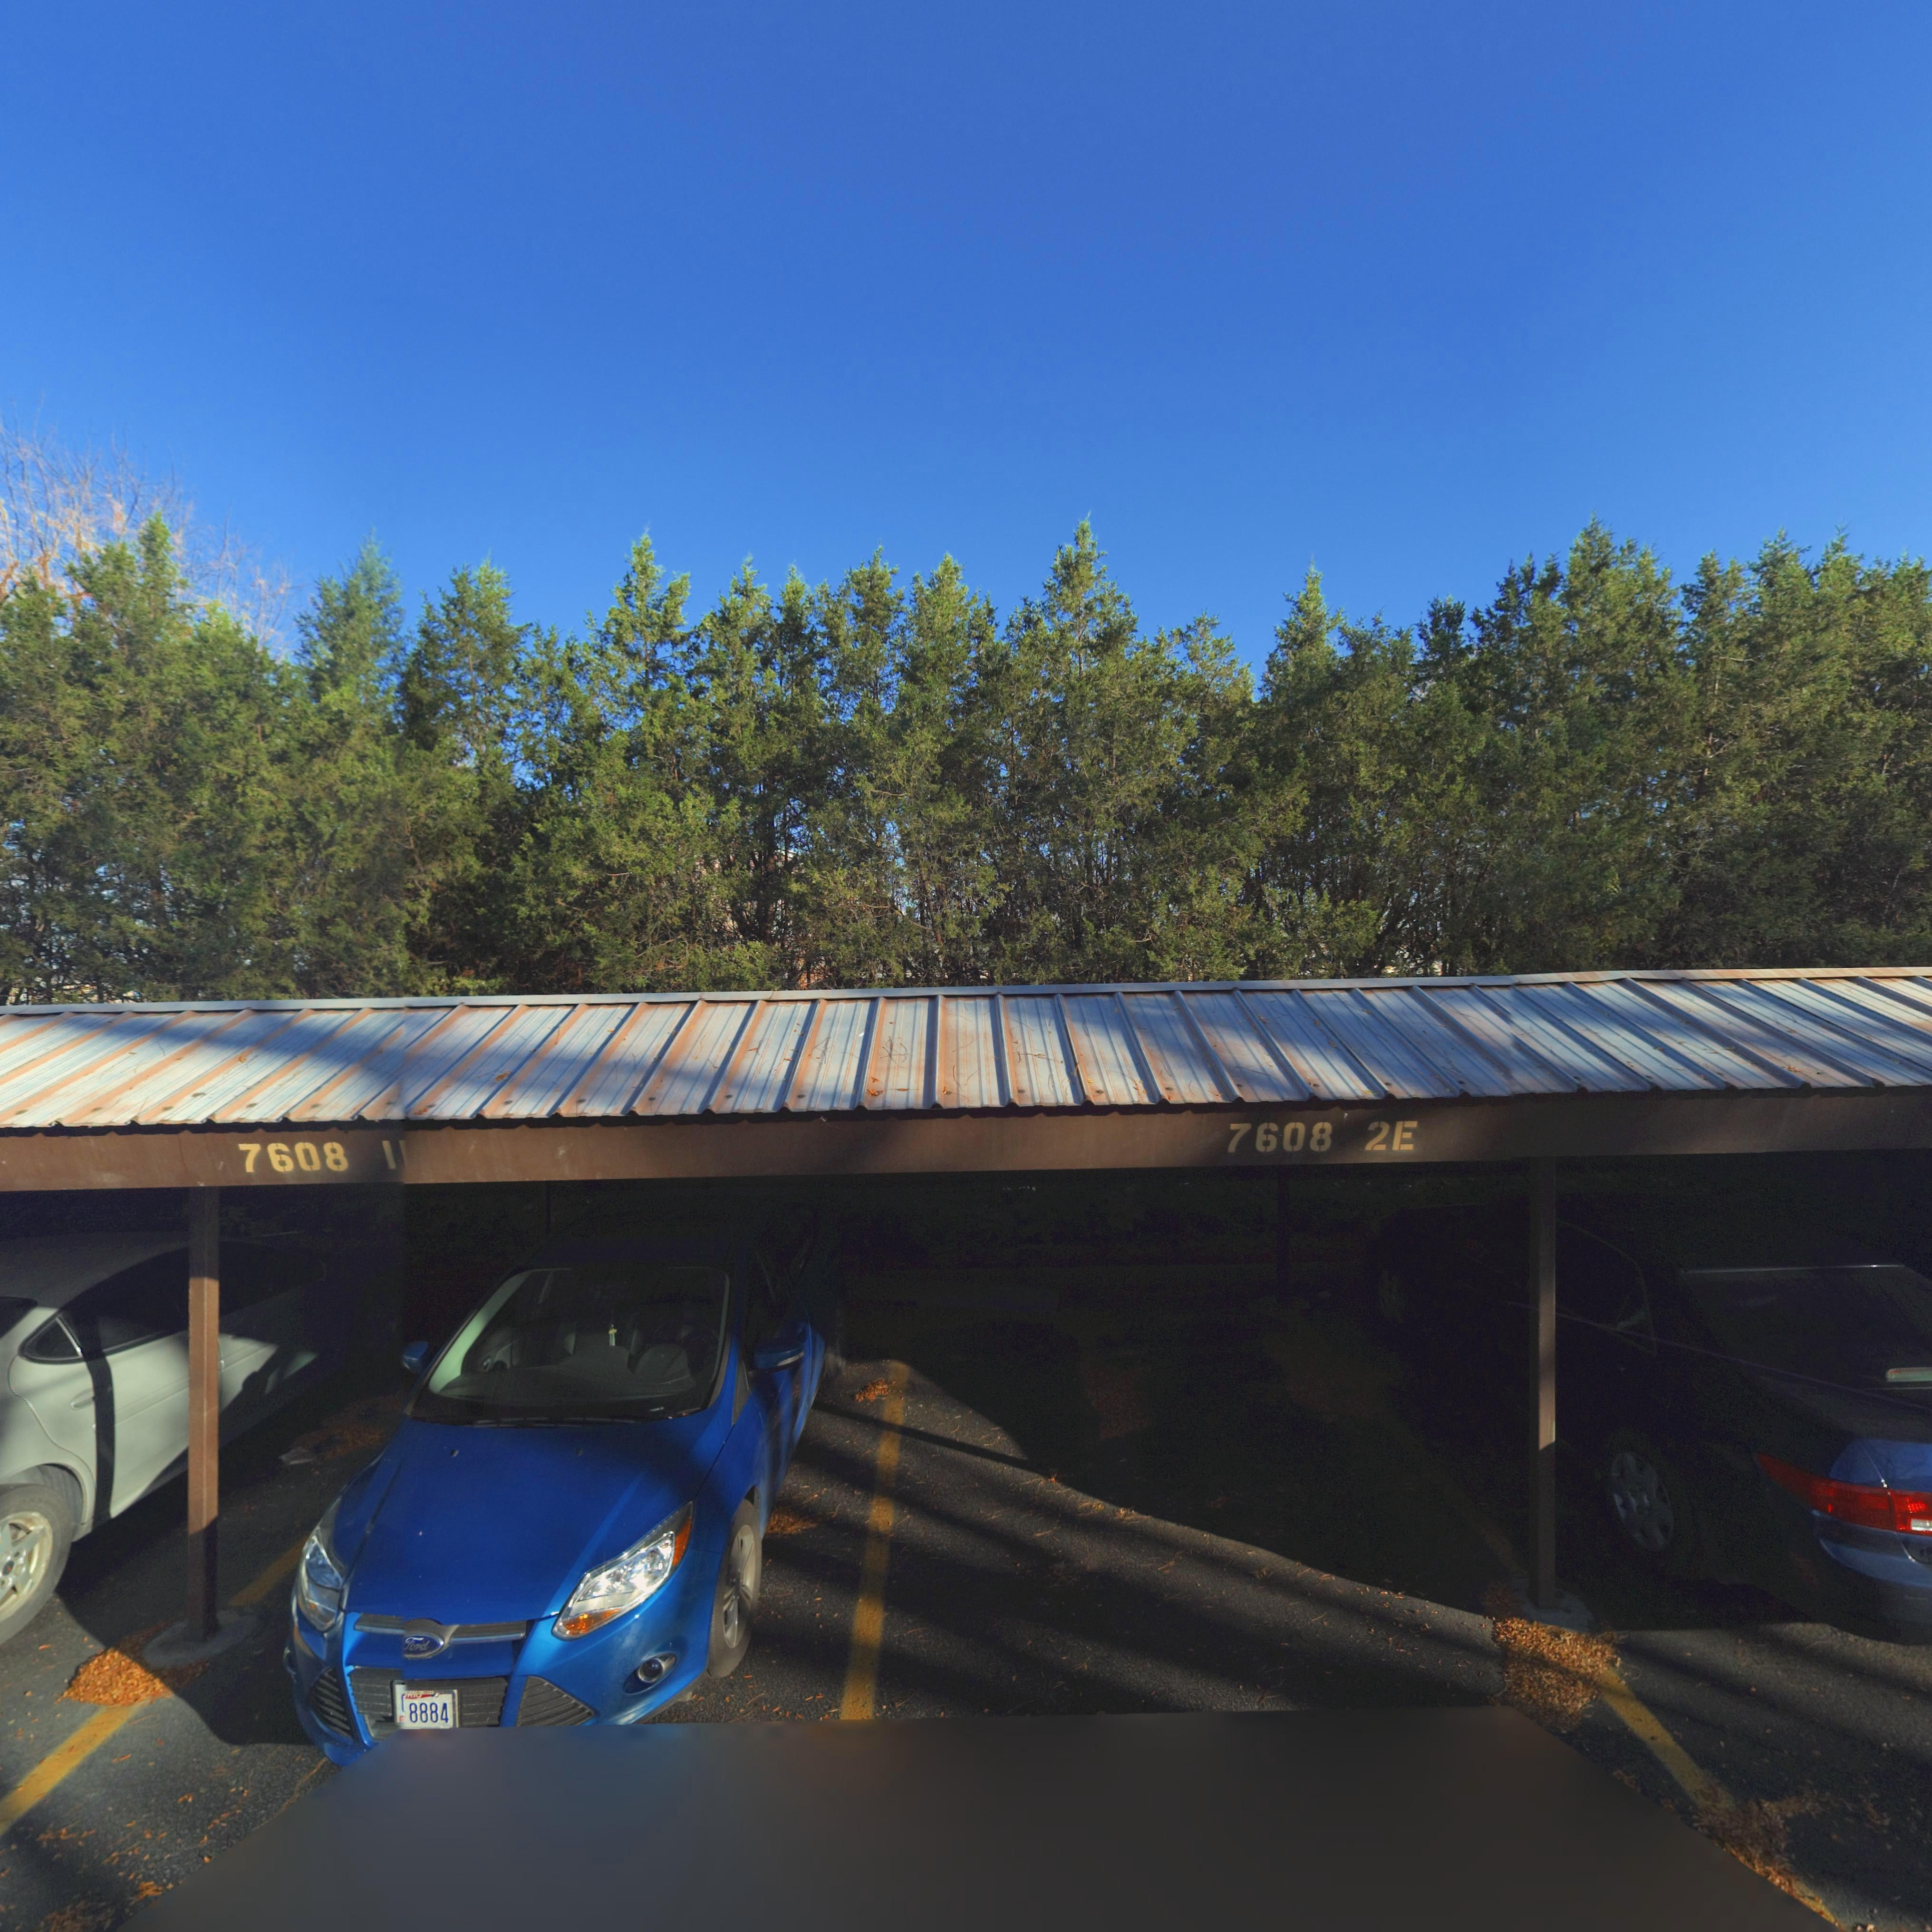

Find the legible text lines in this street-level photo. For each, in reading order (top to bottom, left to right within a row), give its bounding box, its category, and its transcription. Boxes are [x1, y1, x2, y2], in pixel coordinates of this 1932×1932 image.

[1226, 1120, 1335, 1155] StreetNumber: 7608
[1363, 1119, 1420, 1153] StreetNumber: 2E
[235, 1140, 351, 1176] StreetNumber: 7608
[379, 1138, 398, 1172] StreetNumber: 1